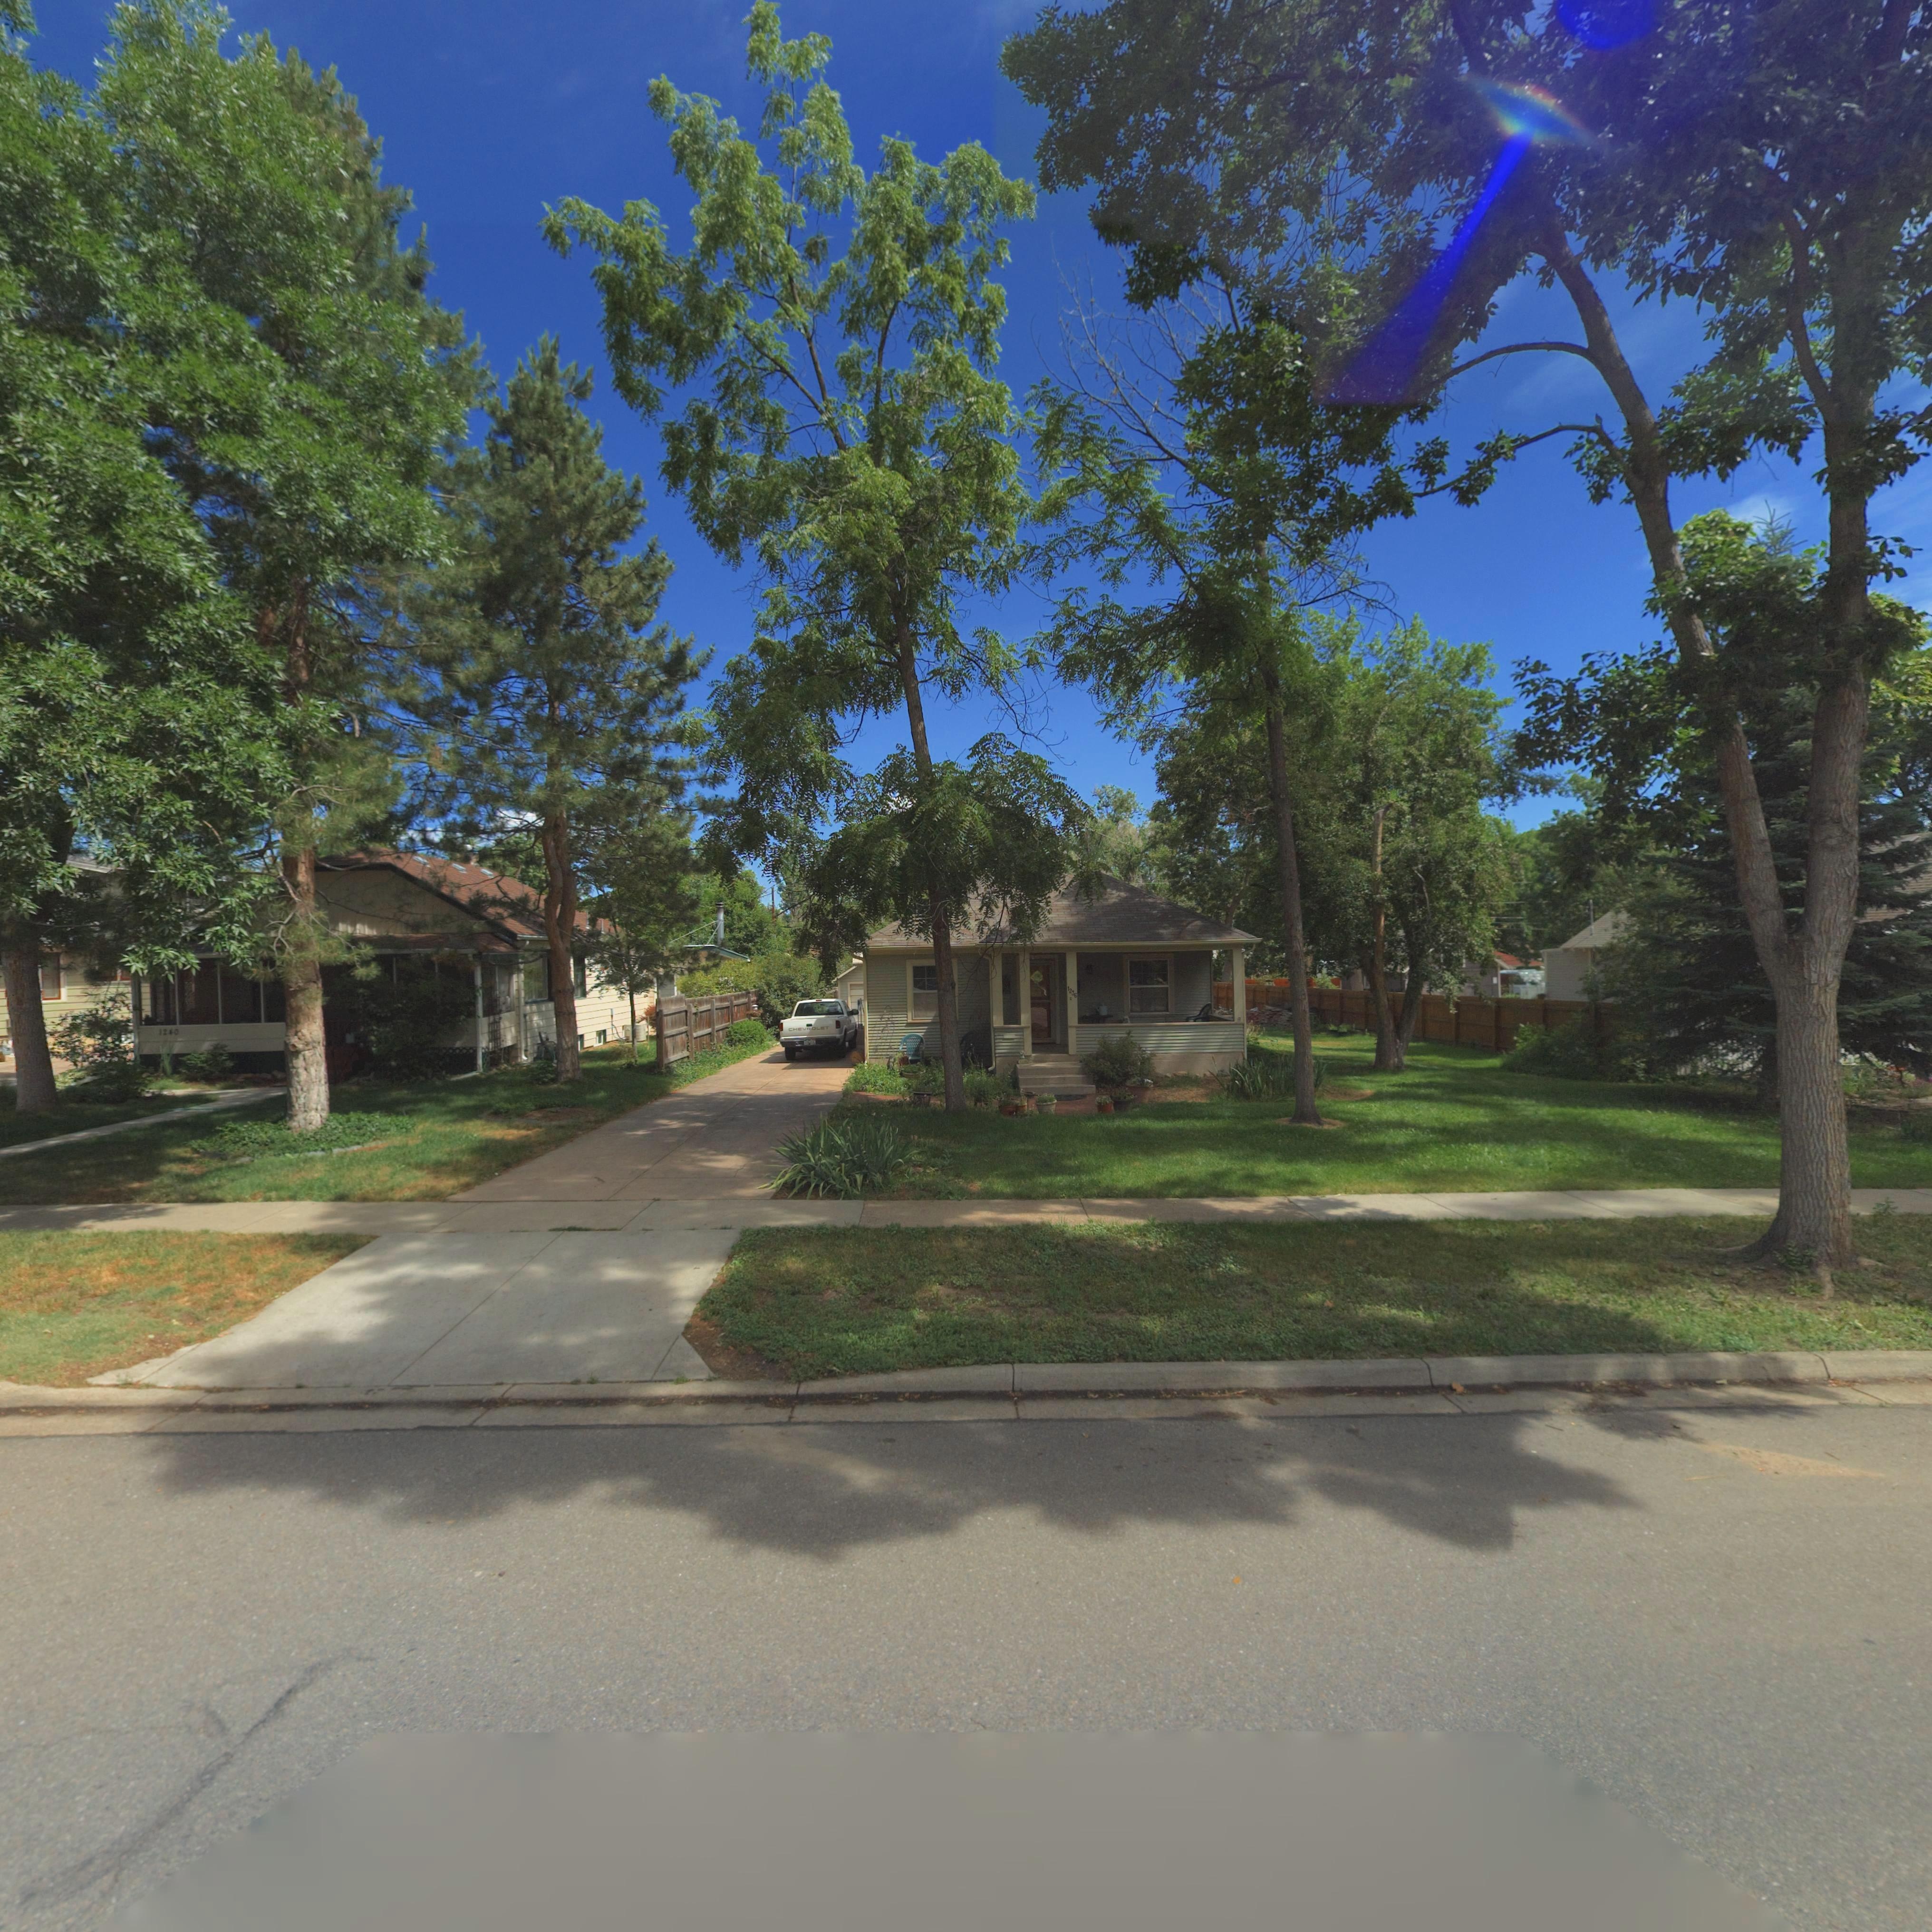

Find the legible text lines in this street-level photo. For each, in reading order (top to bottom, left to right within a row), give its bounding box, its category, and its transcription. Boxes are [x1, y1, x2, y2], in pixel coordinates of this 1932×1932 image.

[1067, 985, 1077, 998] StreetNumber: 1236
[158, 1028, 179, 1035] StreetNumber: 1240